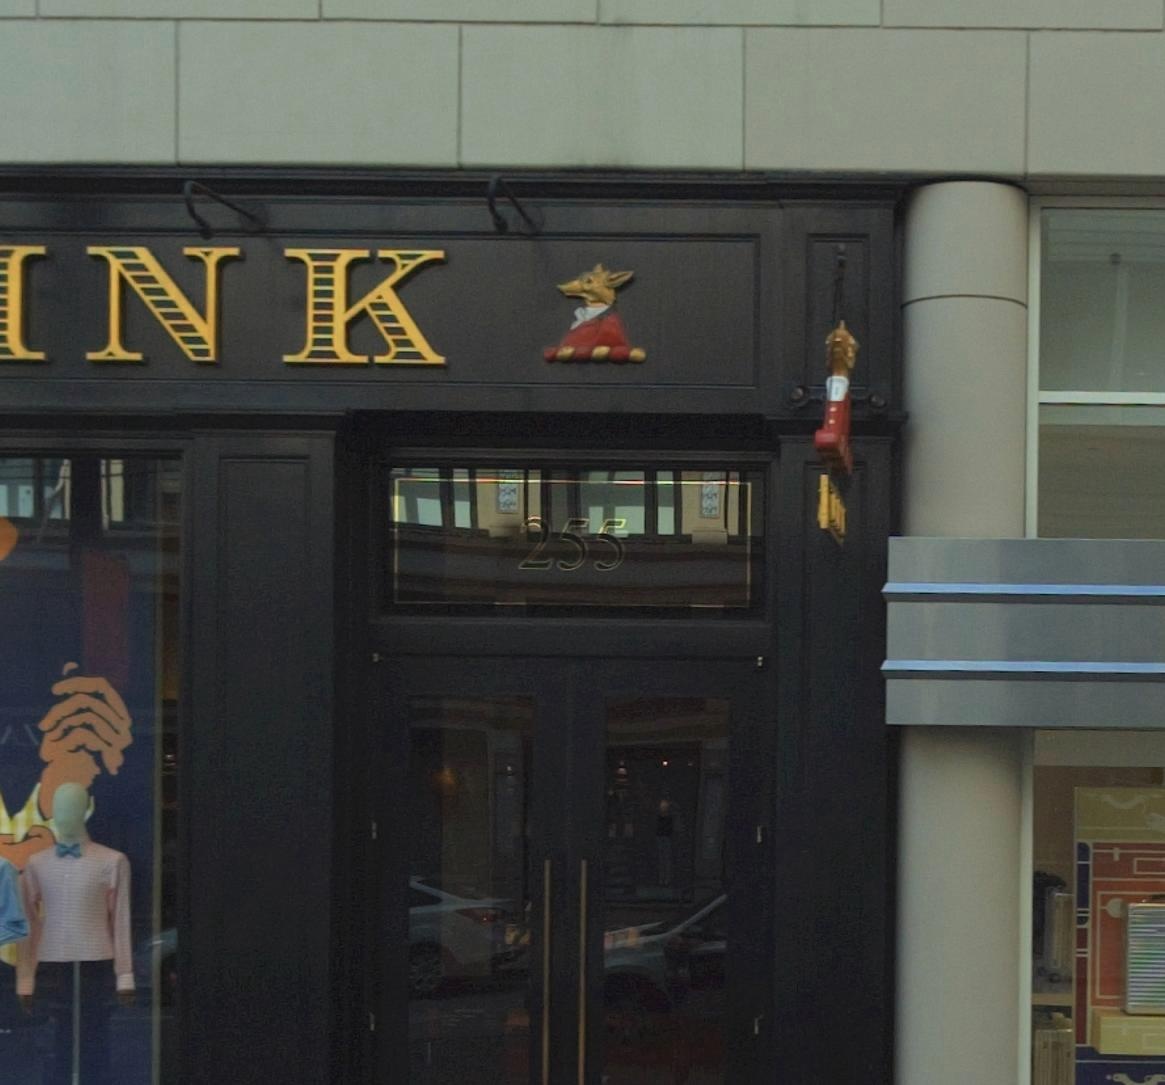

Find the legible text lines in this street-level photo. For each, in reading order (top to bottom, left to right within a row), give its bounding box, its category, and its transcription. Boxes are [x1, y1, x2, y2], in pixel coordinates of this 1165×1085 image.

[75, 238, 455, 374] BusinessName: NK
[511, 512, 634, 576] StreetNumber: 255